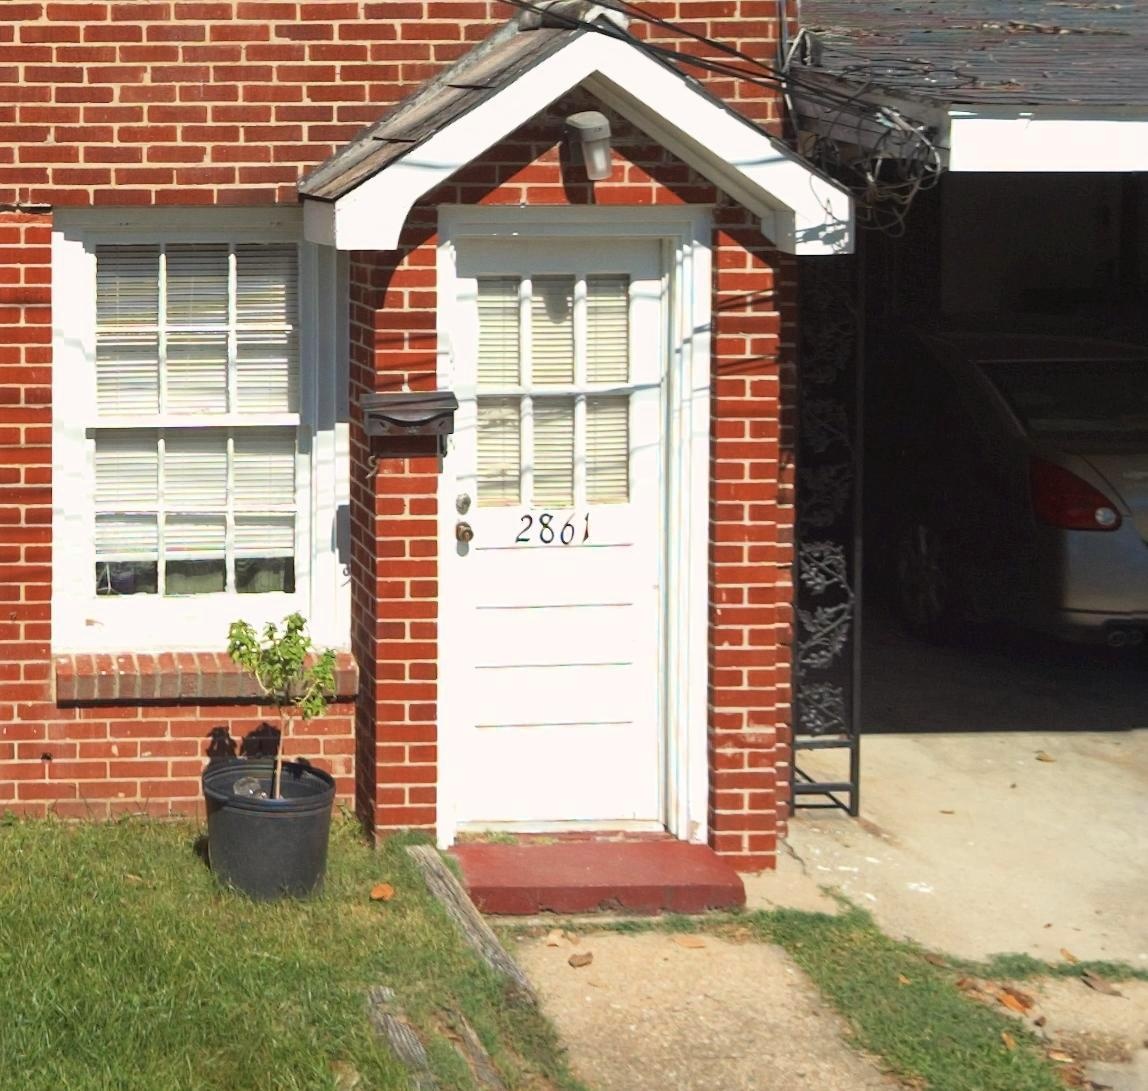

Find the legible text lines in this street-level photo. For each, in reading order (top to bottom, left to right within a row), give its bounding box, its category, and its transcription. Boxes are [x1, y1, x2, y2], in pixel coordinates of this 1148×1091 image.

[511, 509, 592, 547] StreetNumber: 2861